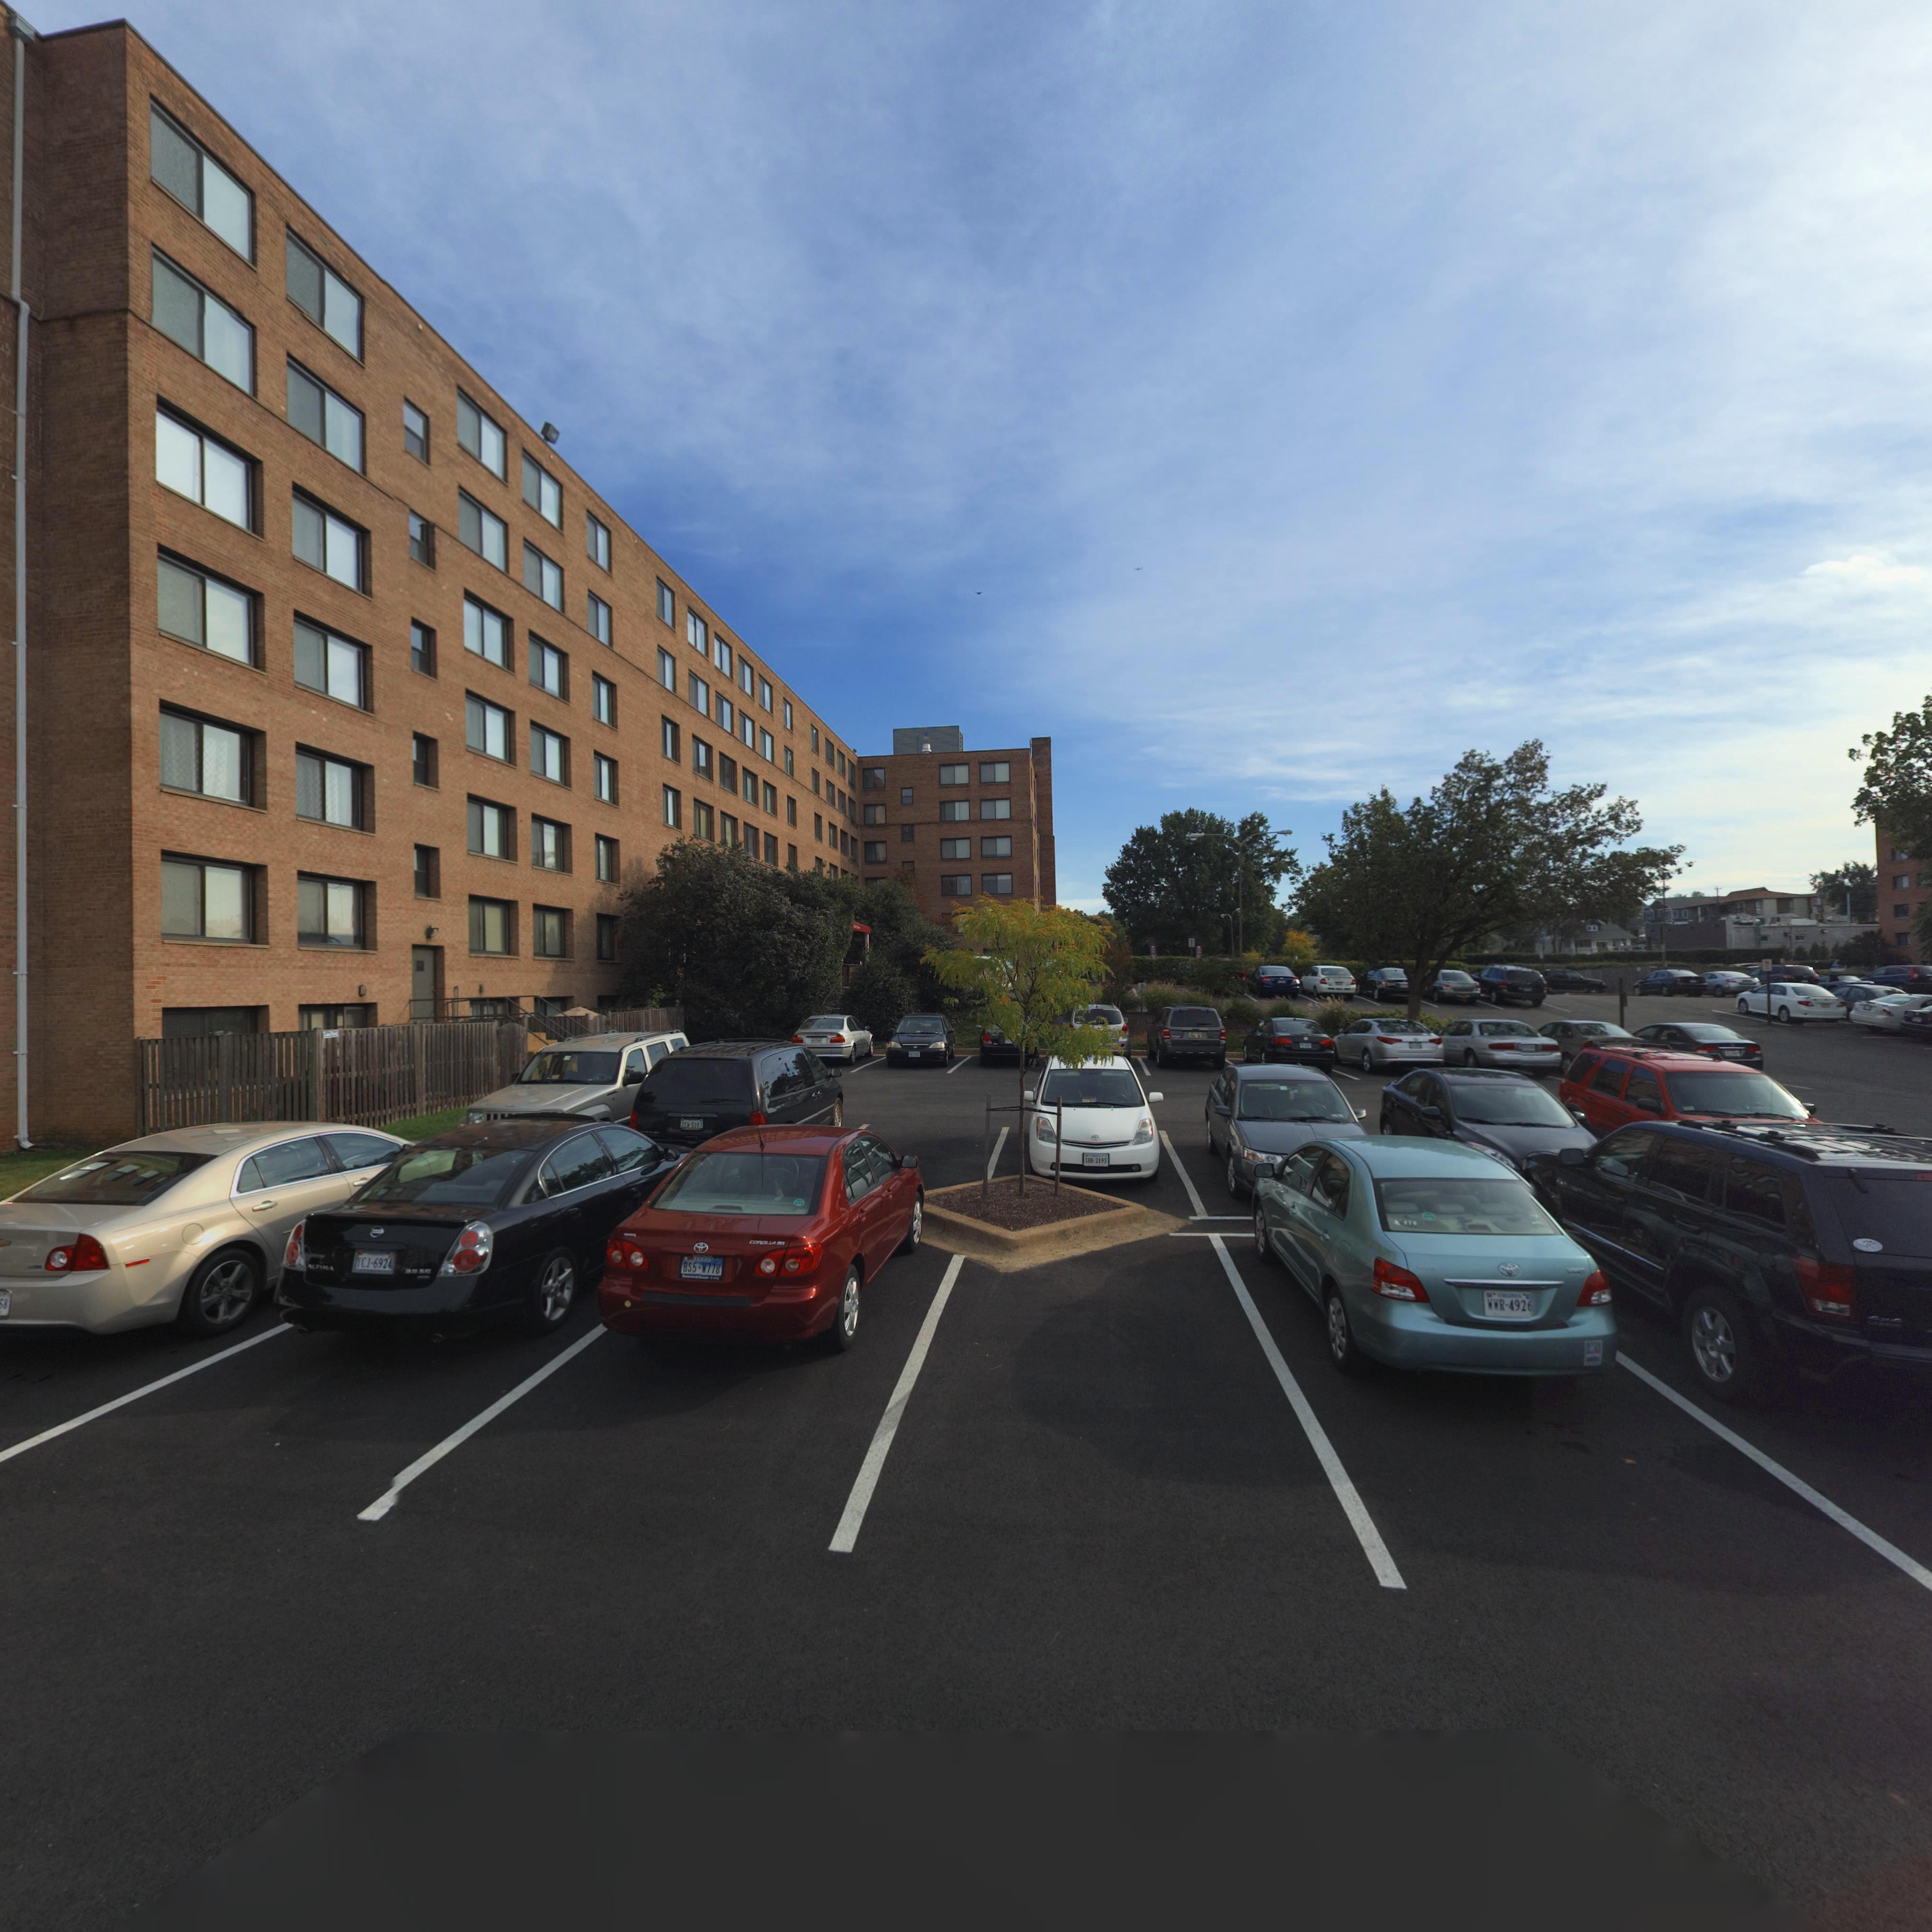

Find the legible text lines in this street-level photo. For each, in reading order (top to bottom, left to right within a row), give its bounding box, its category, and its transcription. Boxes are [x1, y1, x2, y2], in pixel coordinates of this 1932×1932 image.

[681, 1121, 702, 1128] None: ZEM-5183
[1085, 1157, 1107, 1164] None: X*B-2193
[748, 1239, 777, 1246] None: COROLLA
[357, 1256, 393, 1270] None: YCJ-6924
[693, 1256, 712, 1263] None: TEXAS
[306, 1263, 334, 1271] None: ALTIMA
[404, 1268, 432, 1274] None: 3.5 SE
[683, 1261, 721, 1274] None: BS5-W778
[1, 1297, 9, 1310] None: 8
[1486, 1298, 1532, 1312] None: WWR-4926